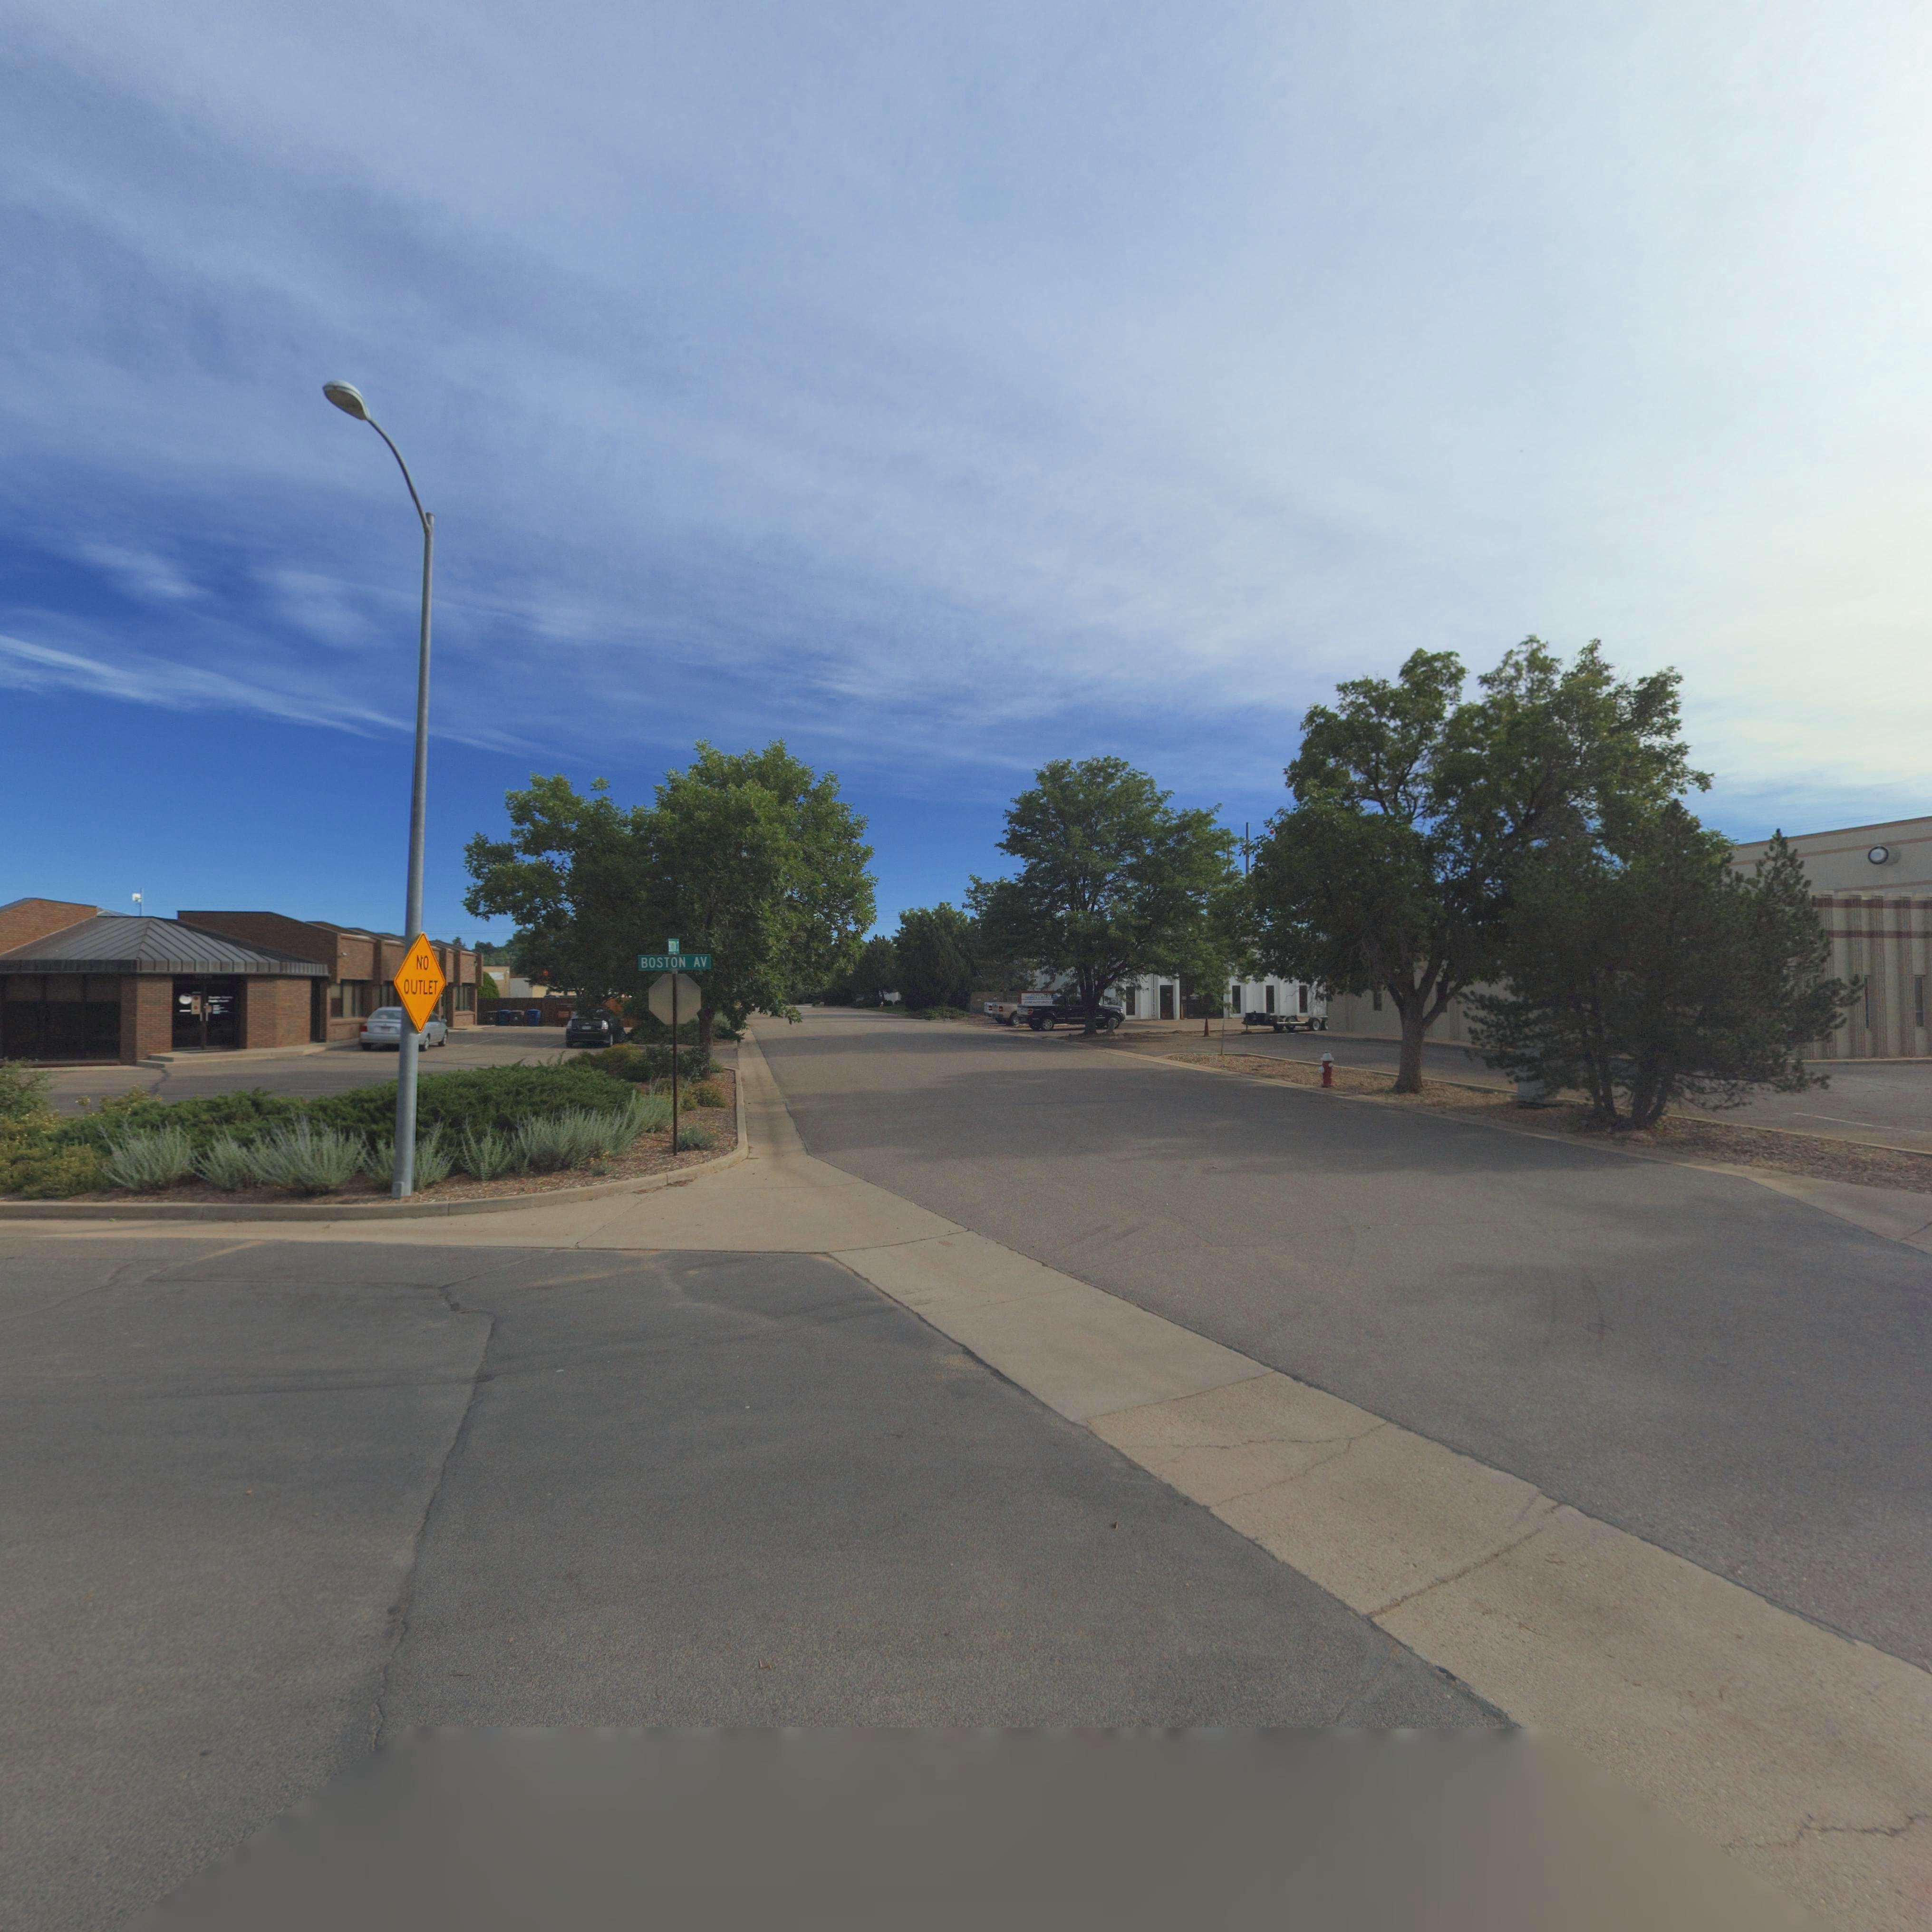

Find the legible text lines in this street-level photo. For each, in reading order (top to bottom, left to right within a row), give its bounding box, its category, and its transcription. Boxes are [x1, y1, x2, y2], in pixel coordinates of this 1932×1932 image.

[668, 940, 679, 952] StreetName: B***** C*
[641, 956, 707, 969] StreetName: BOSTON AV